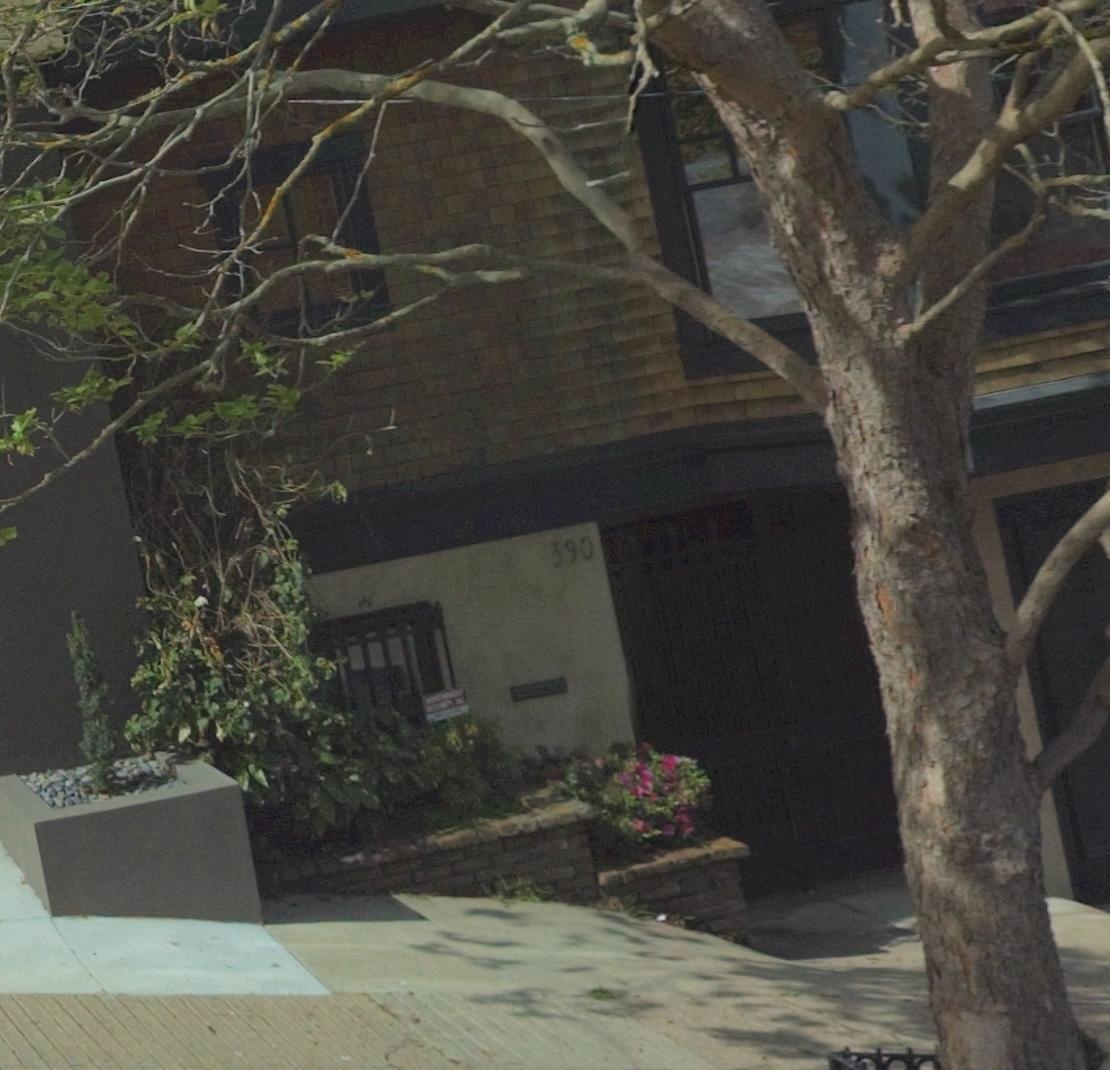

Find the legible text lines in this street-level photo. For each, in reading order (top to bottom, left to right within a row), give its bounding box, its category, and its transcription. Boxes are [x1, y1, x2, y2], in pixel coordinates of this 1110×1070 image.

[545, 532, 598, 573] StreetNumber: 390